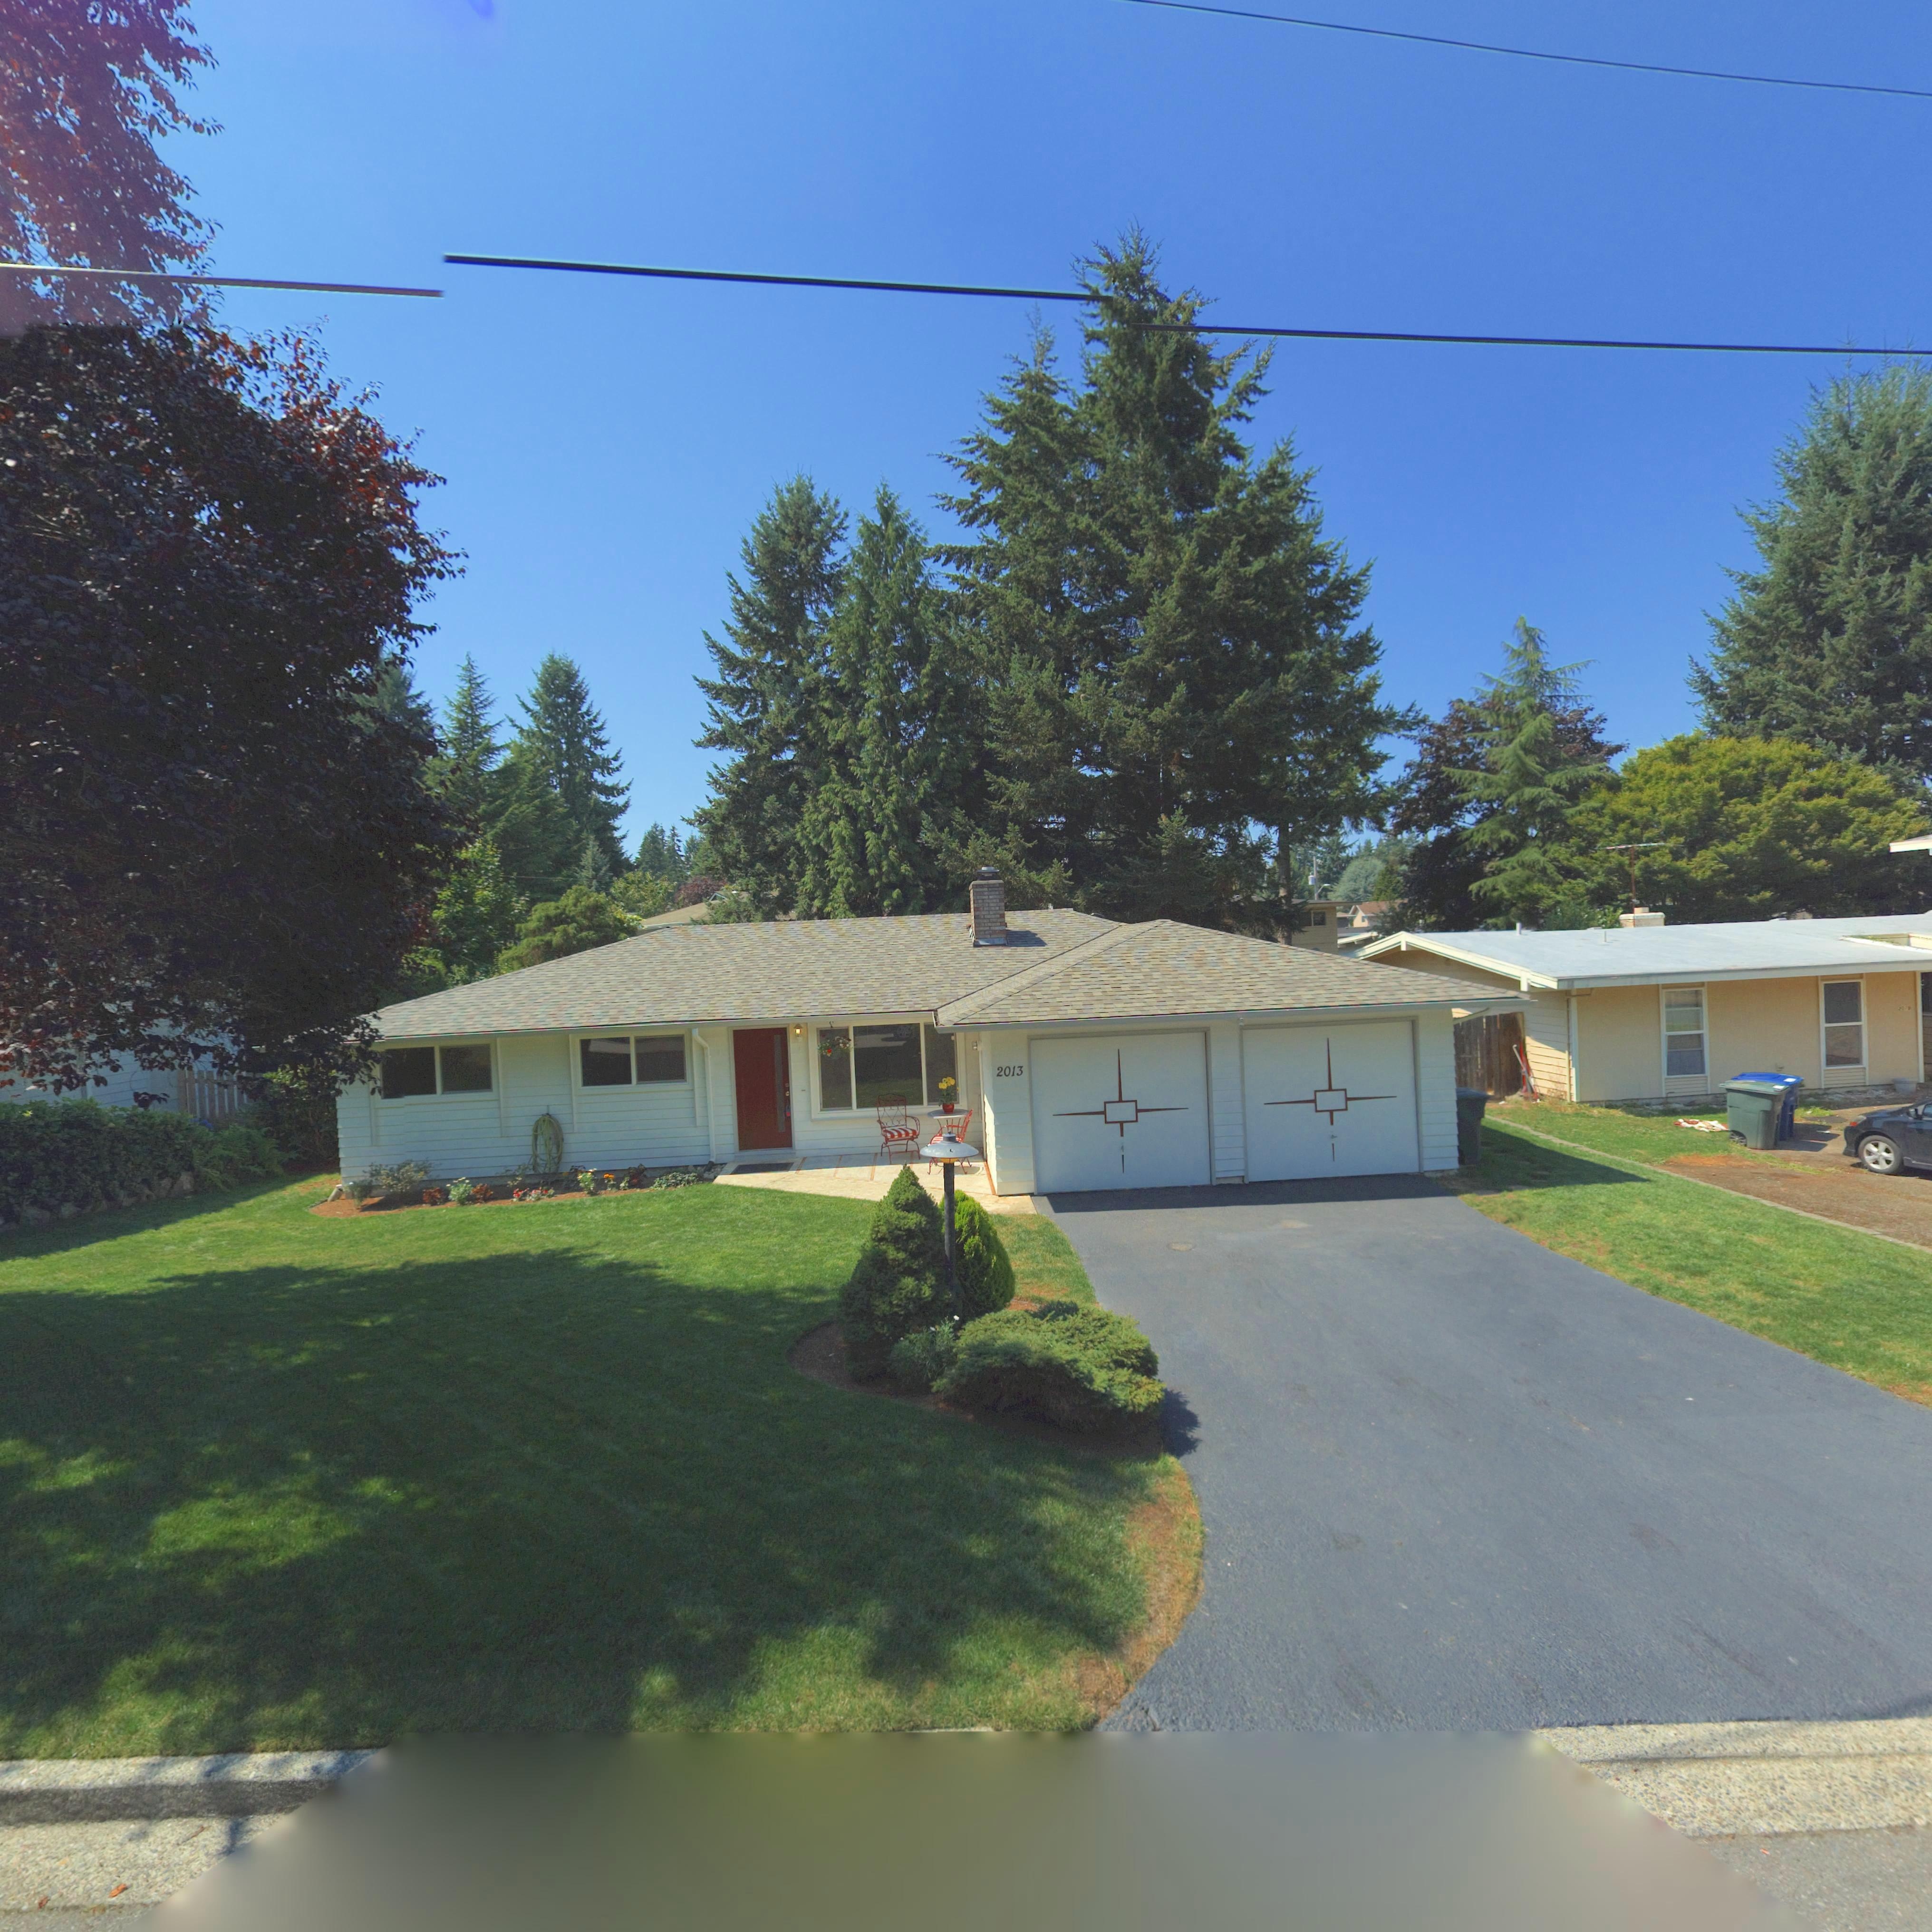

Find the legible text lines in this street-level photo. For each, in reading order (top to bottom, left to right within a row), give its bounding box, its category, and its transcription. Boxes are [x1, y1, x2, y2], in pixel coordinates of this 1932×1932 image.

[996, 1064, 1023, 1078] StreetNumber: 2013